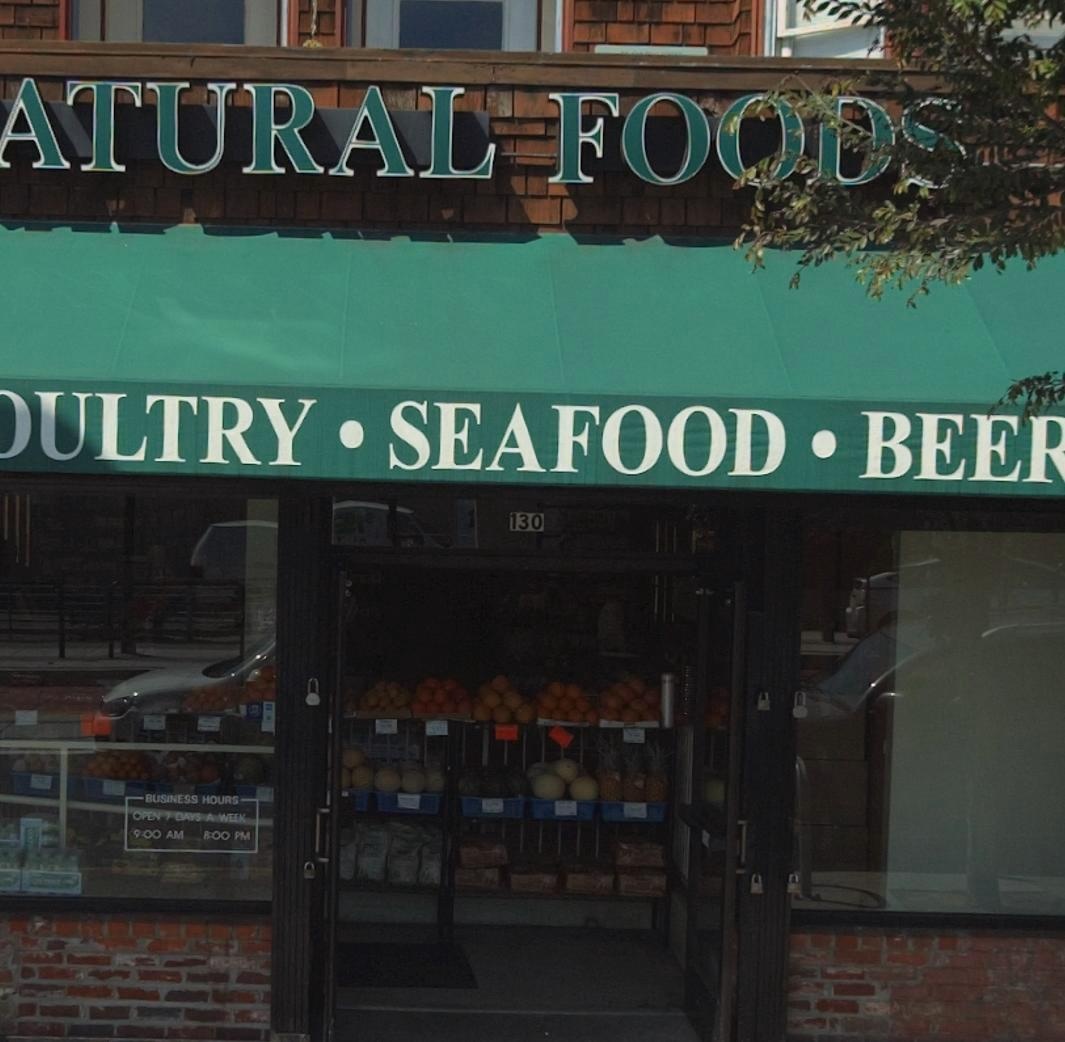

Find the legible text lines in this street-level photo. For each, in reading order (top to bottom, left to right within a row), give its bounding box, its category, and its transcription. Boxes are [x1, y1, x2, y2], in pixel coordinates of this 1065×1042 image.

[0, 74, 971, 192] BusinessName: ATURAL FOODS
[31, 387, 1025, 485] None: ULTRY * SEAFOOD * BEE
[510, 512, 543, 531] StreetNumber: 130
[144, 793, 240, 806] None: BUSINESS HOURS
[131, 809, 247, 823] None: OPEN 7 DAYS A WEEK
[131, 828, 186, 841] None: 9:00 AM
[202, 830, 252, 841] None: 8:00 PM